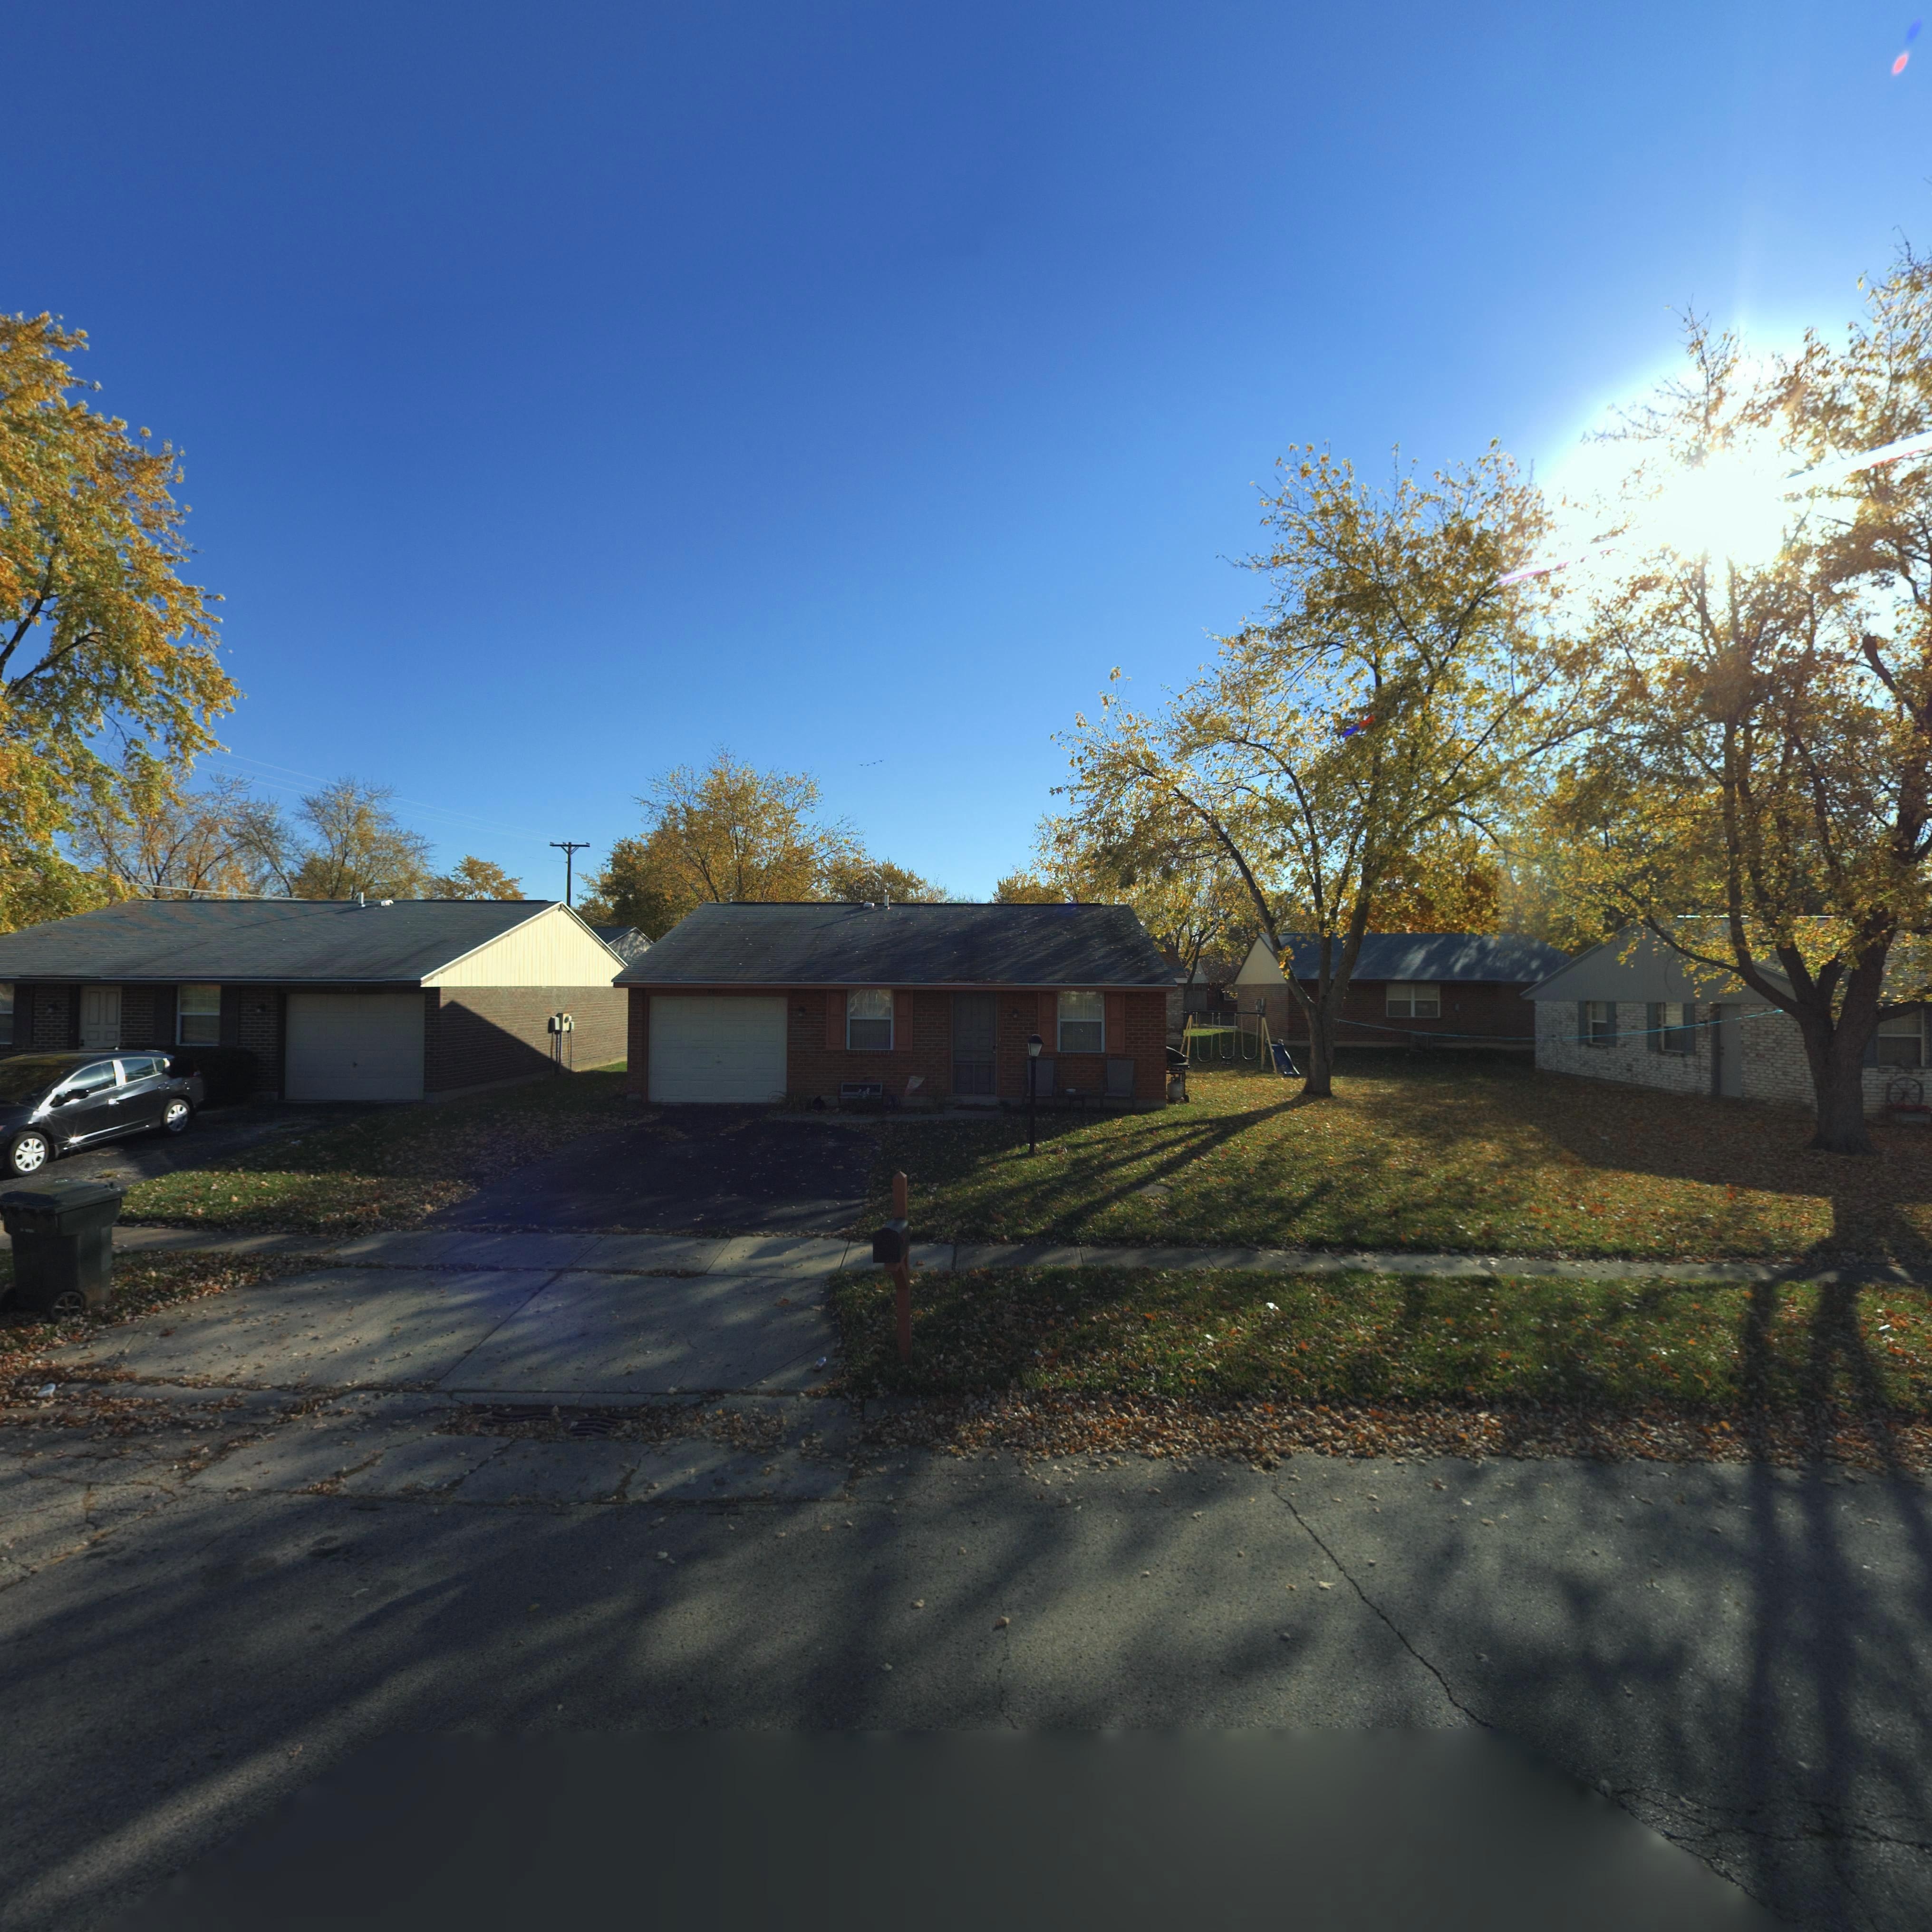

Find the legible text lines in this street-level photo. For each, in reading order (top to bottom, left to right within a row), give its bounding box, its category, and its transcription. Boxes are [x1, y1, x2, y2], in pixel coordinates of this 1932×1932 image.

[705, 988, 724, 996] StreetNumber: ***0